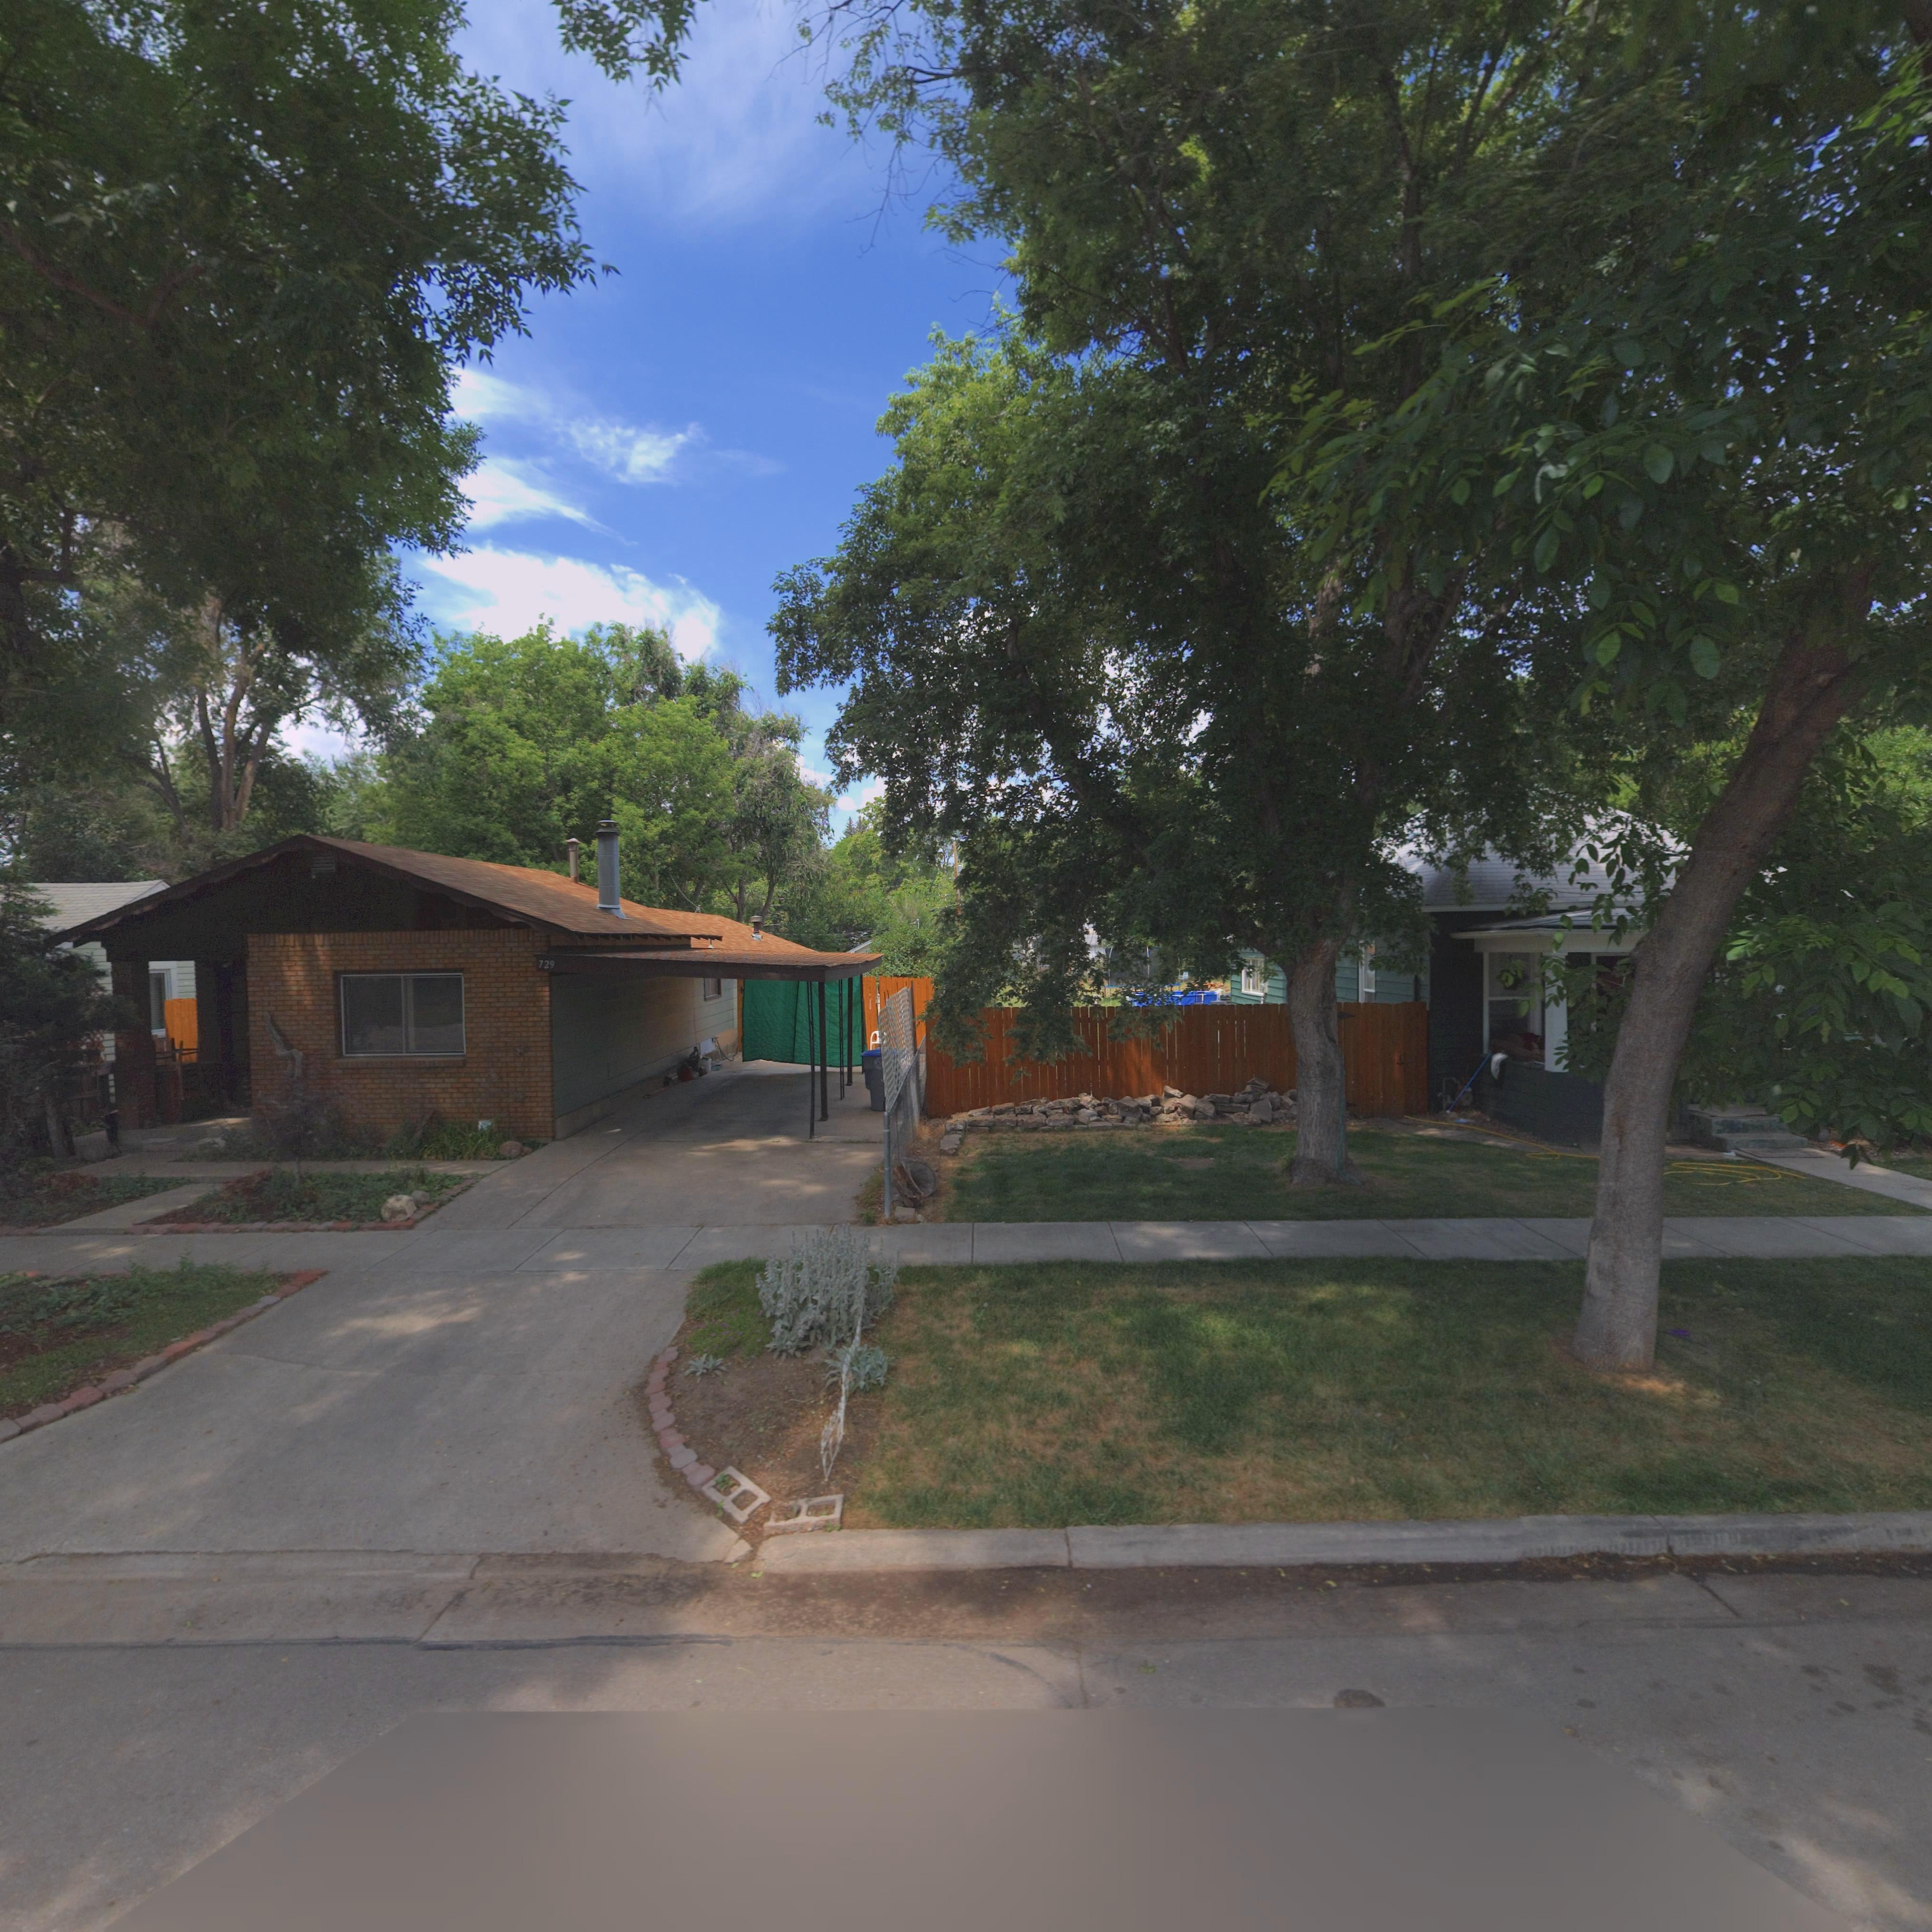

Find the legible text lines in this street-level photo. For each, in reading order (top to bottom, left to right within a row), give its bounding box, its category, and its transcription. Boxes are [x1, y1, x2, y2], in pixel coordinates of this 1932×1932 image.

[539, 960, 554, 969] StreetNumber: 729